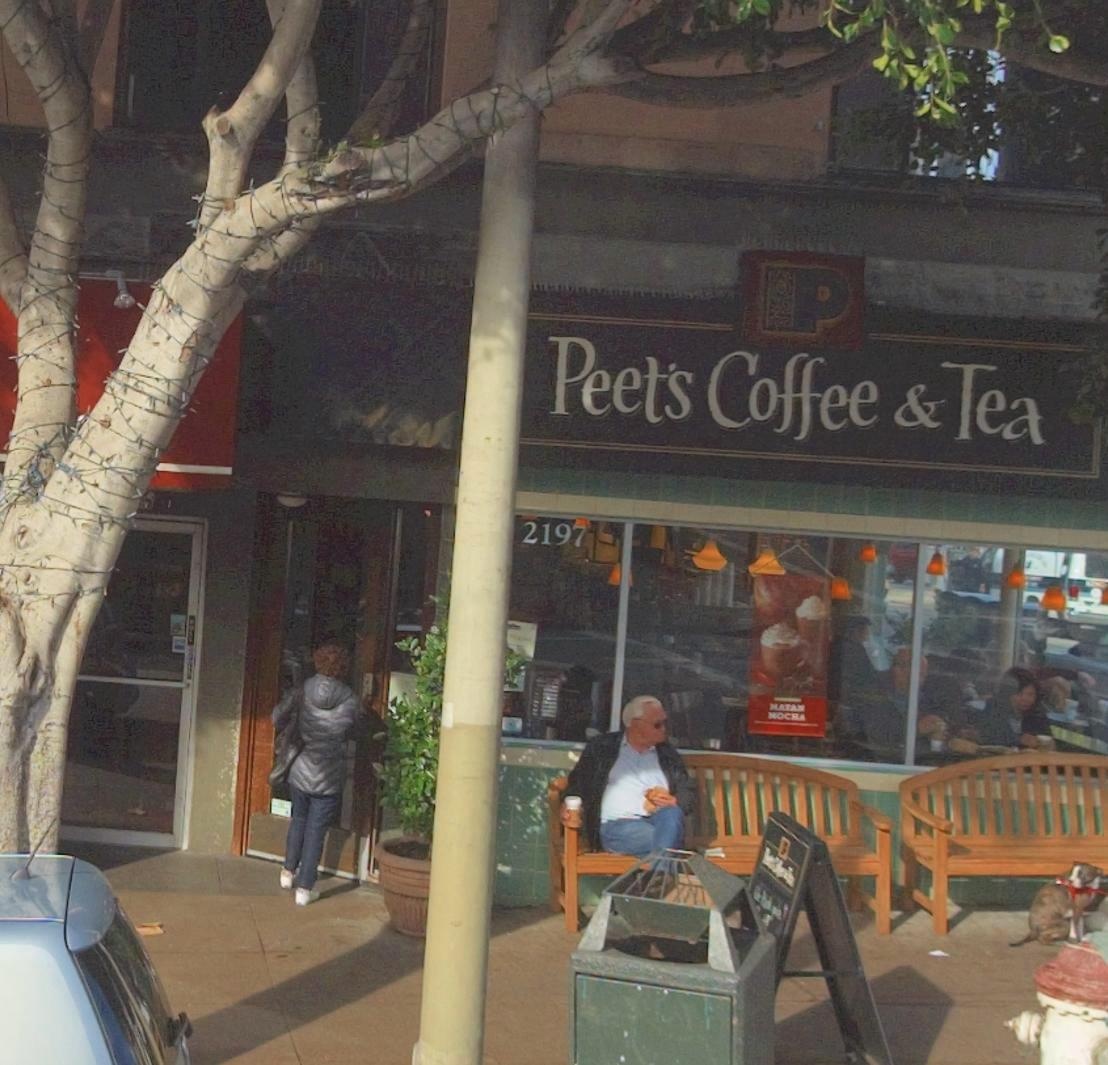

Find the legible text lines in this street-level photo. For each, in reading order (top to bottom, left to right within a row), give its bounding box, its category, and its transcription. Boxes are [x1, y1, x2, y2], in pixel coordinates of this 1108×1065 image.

[789, 264, 852, 336] None: P
[541, 329, 1050, 450] BusinessName: Peet's Coffee & Tea
[519, 518, 591, 550] StreetNumber: 2197